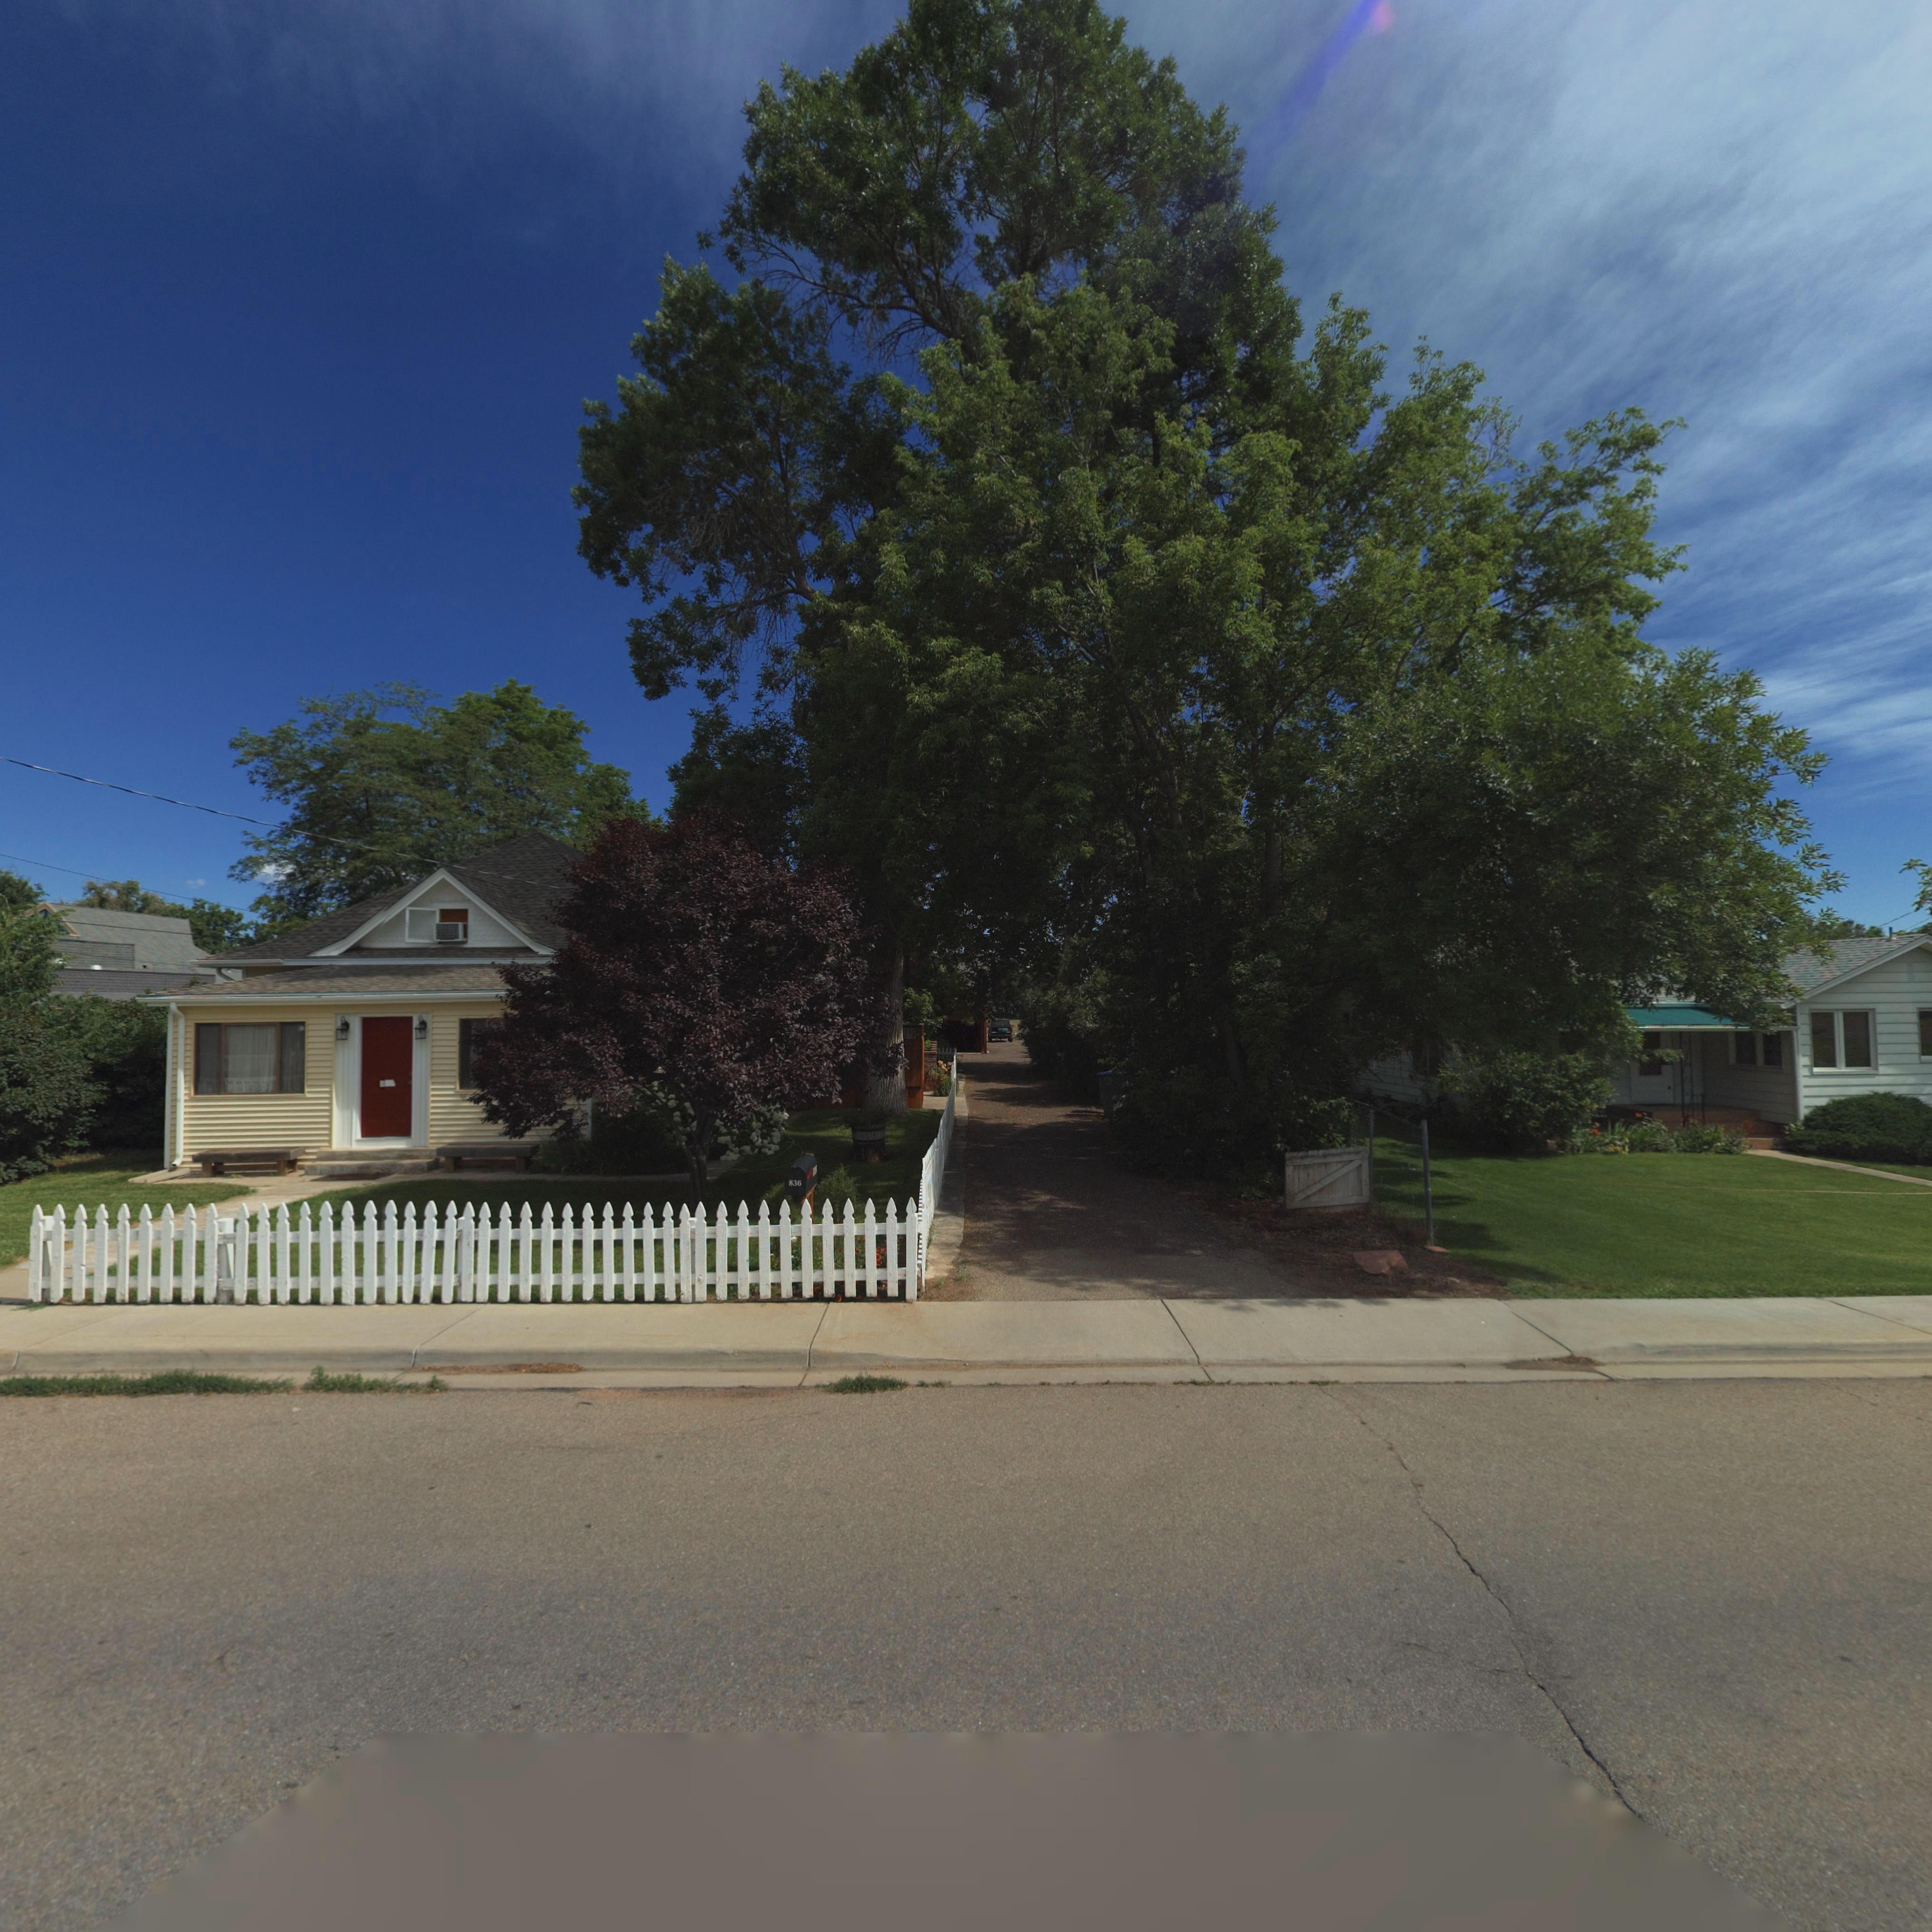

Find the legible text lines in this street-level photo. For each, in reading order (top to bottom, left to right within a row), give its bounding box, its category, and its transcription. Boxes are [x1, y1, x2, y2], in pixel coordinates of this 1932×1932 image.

[788, 1179, 802, 1187] StreetNumber: 836